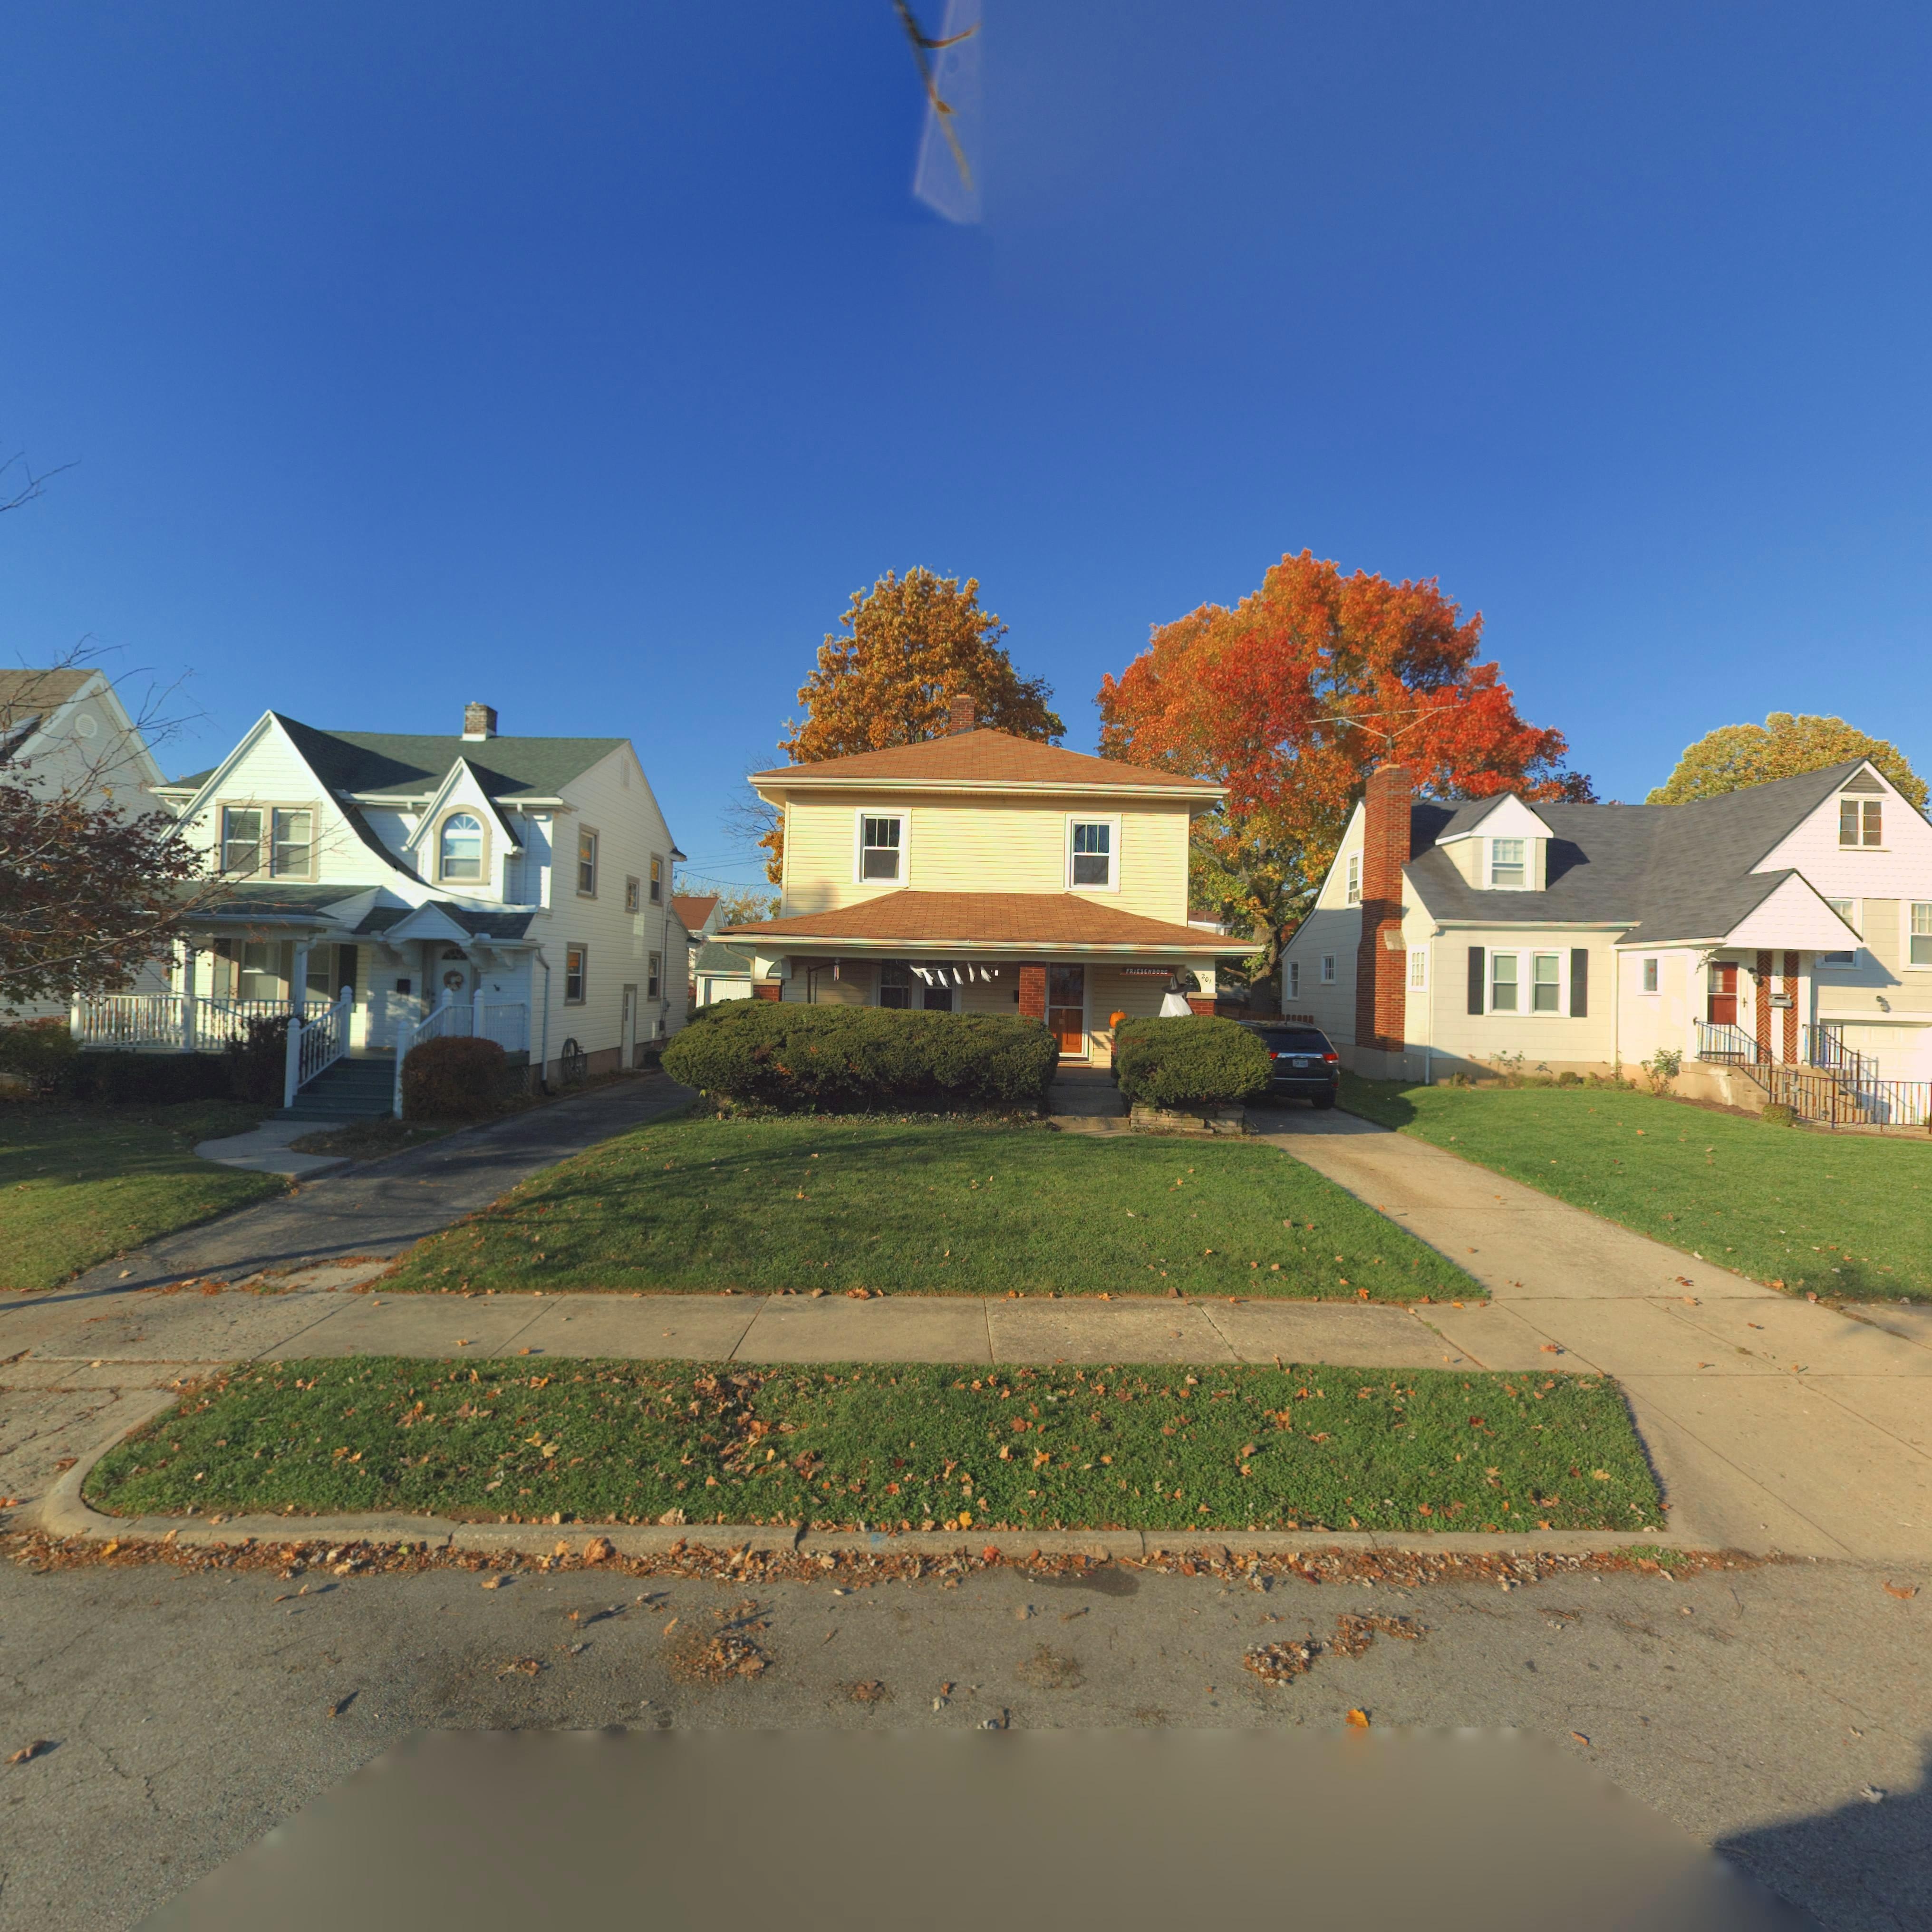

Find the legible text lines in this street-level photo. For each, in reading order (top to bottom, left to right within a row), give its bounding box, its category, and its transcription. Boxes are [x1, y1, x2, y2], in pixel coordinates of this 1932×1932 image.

[1200, 972, 1214, 985] StreetNumber: 201
[1774, 969, 1780, 976] StreetNumber: 2